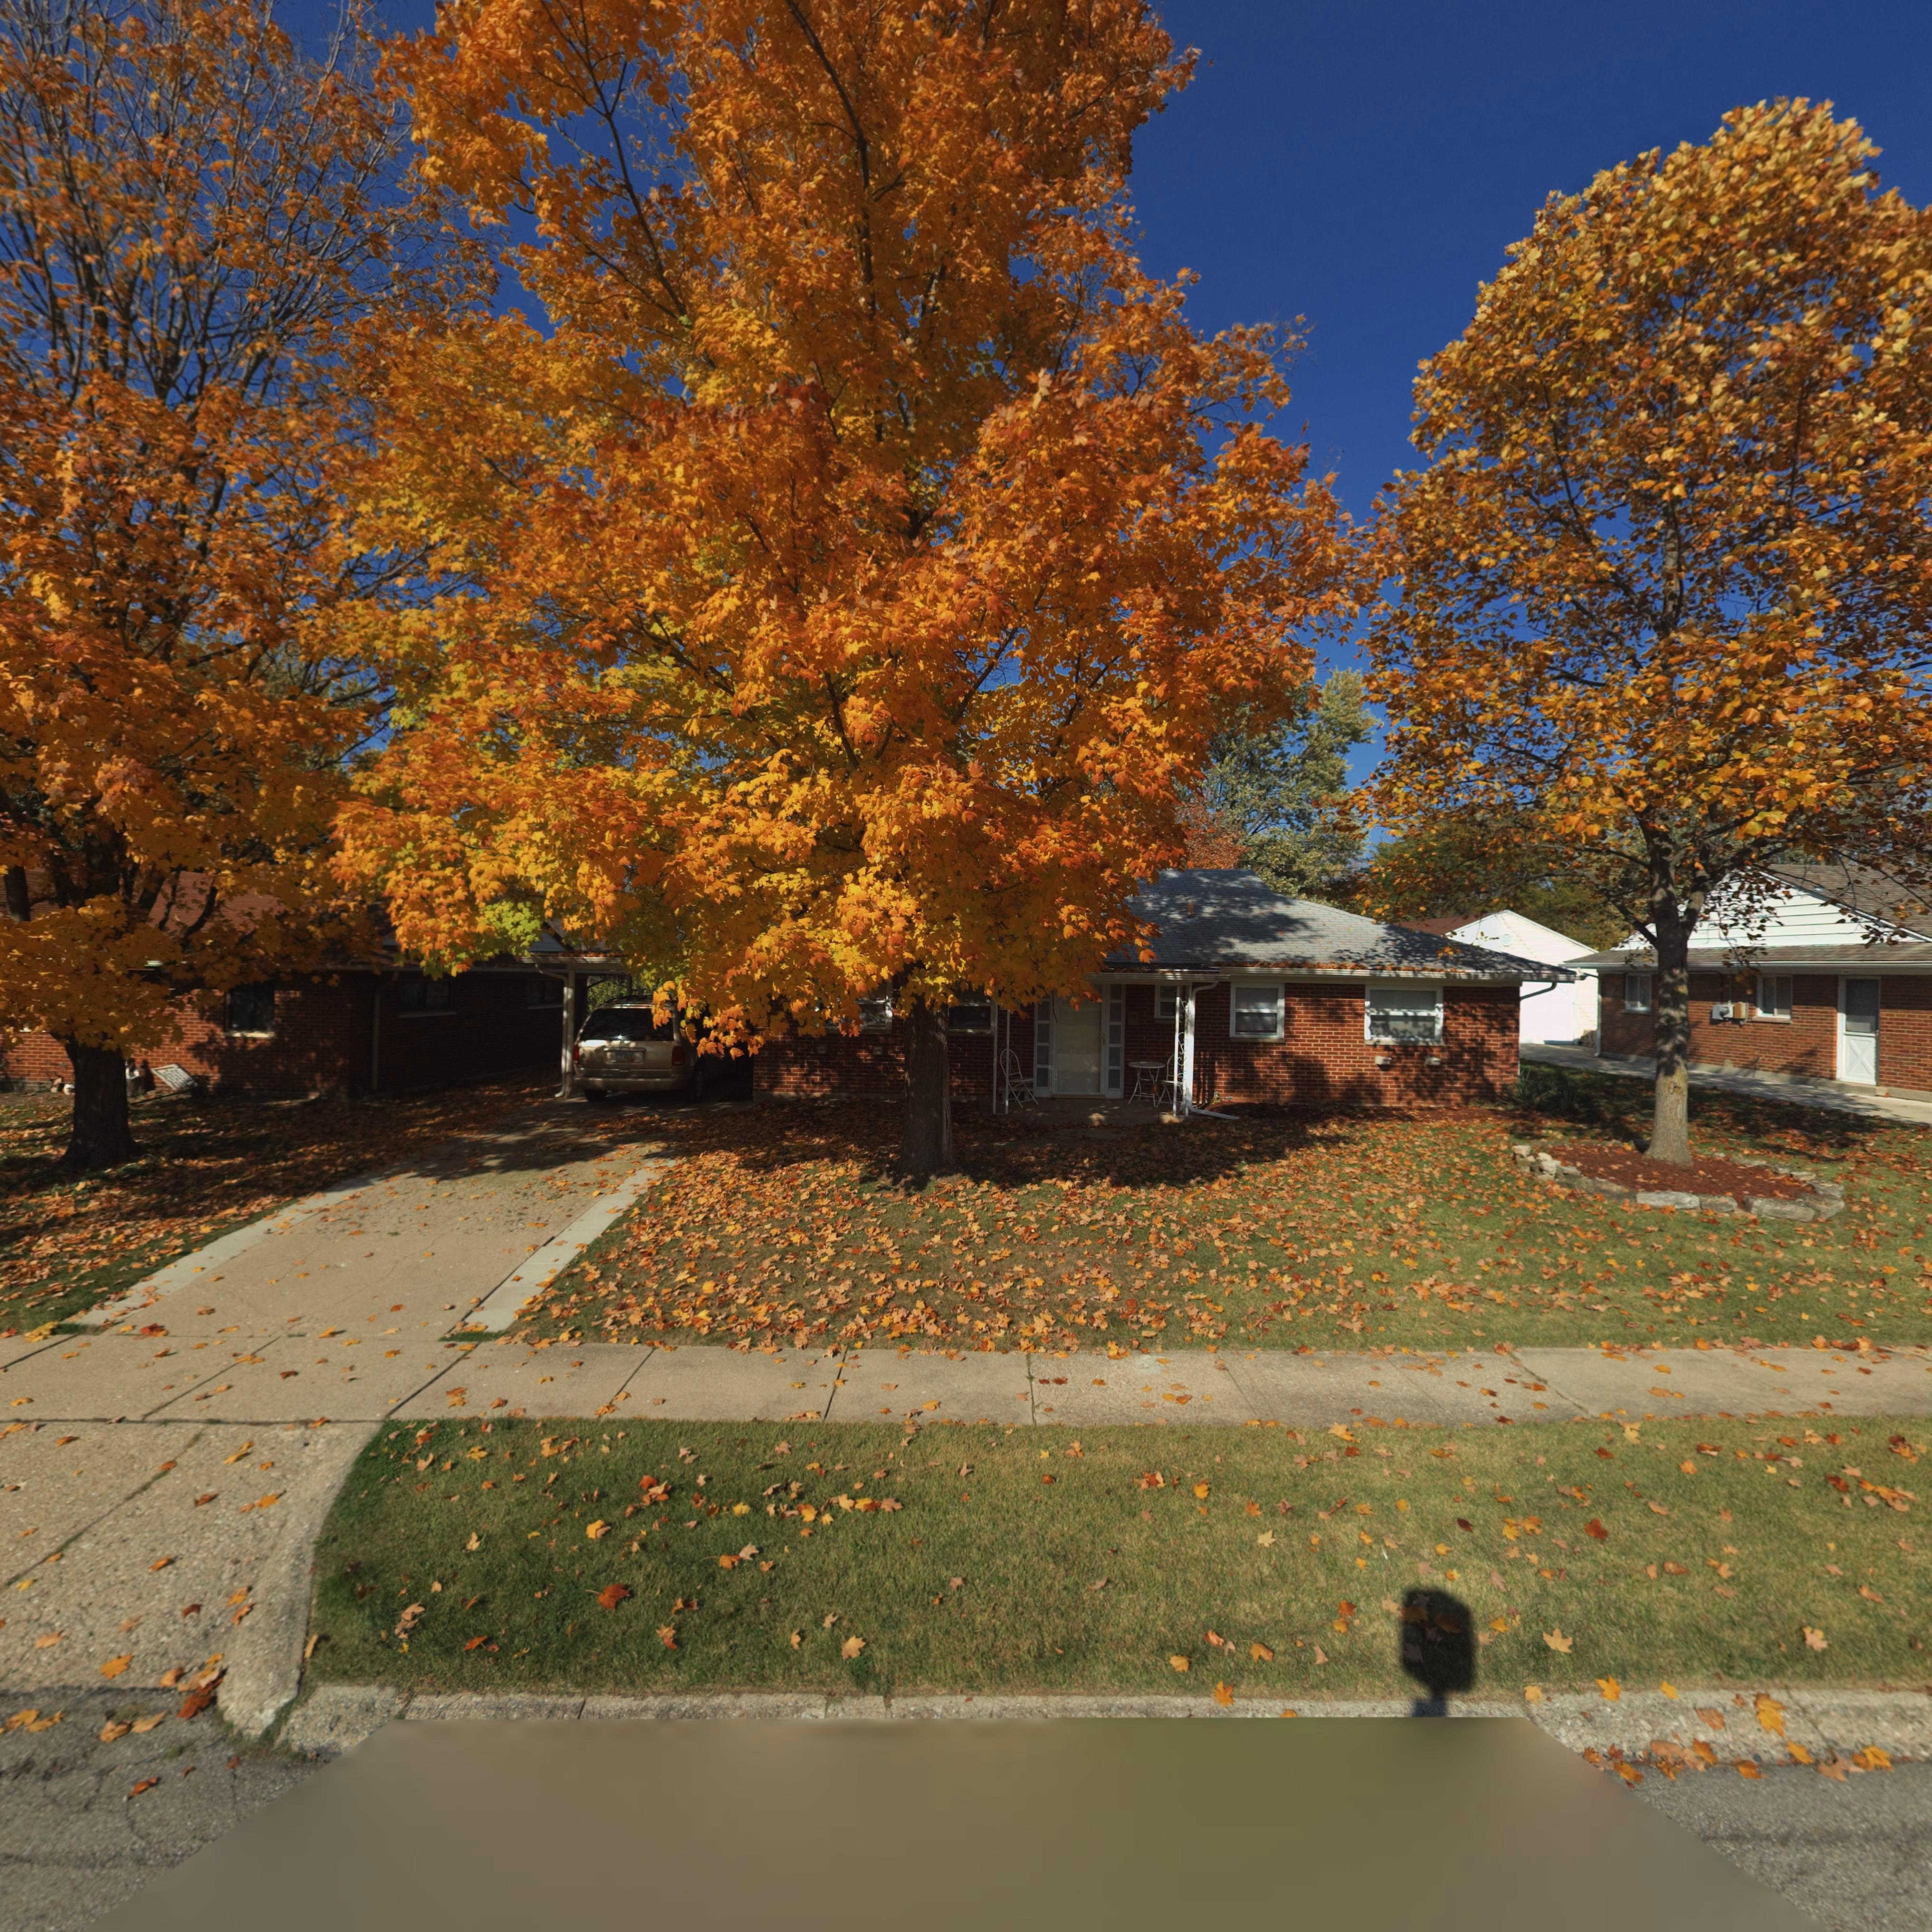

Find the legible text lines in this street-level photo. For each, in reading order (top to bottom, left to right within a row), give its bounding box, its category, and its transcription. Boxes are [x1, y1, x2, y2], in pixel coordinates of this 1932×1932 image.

[616, 1053, 627, 1060] None: E***4